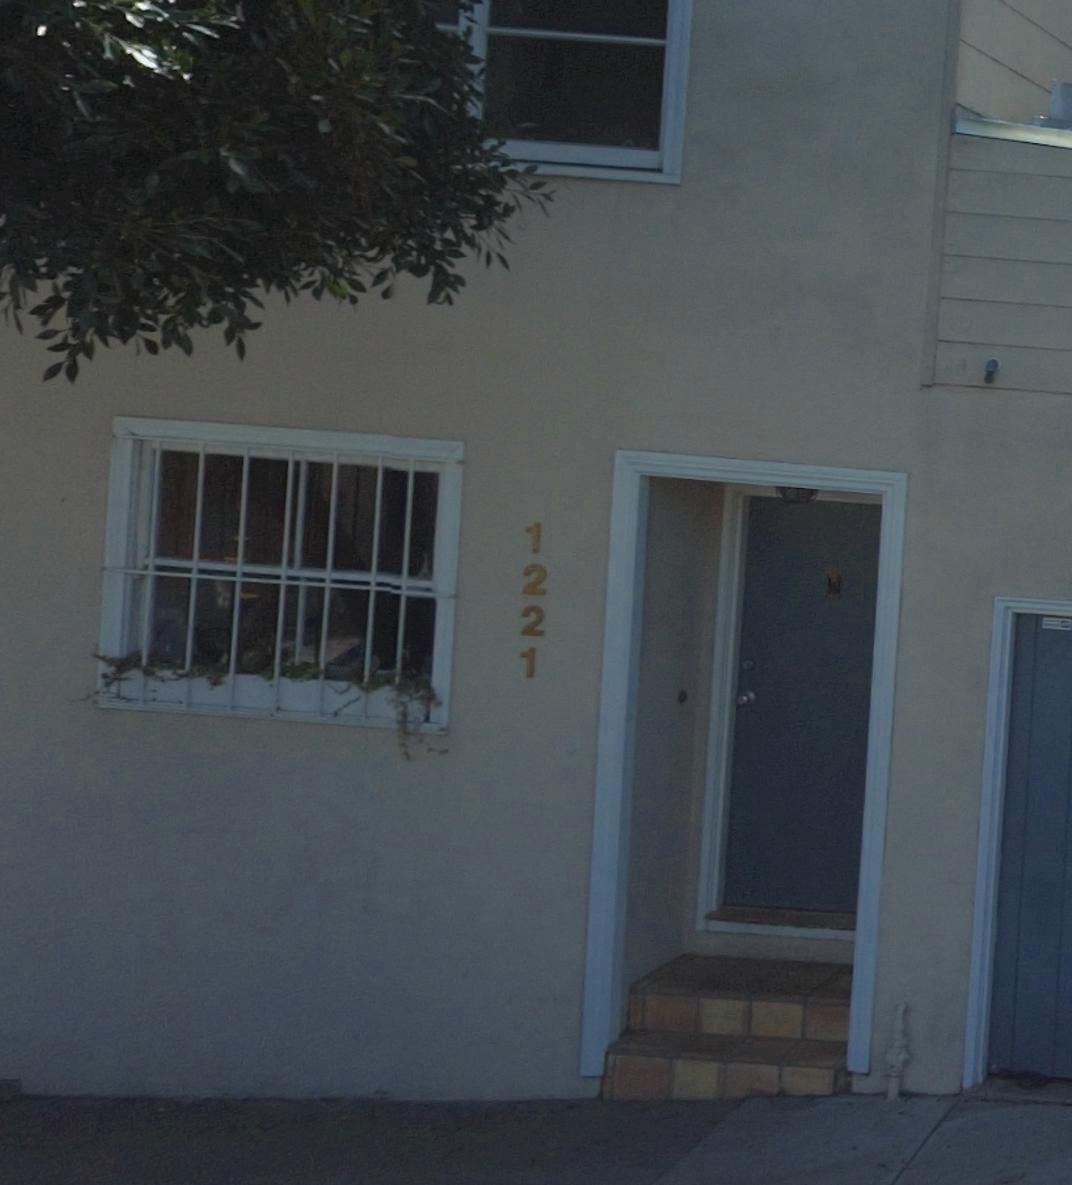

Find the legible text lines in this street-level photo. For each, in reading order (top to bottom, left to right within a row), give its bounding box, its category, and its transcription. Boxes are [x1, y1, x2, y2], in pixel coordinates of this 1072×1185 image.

[517, 519, 550, 680] StreetNumber: 1221